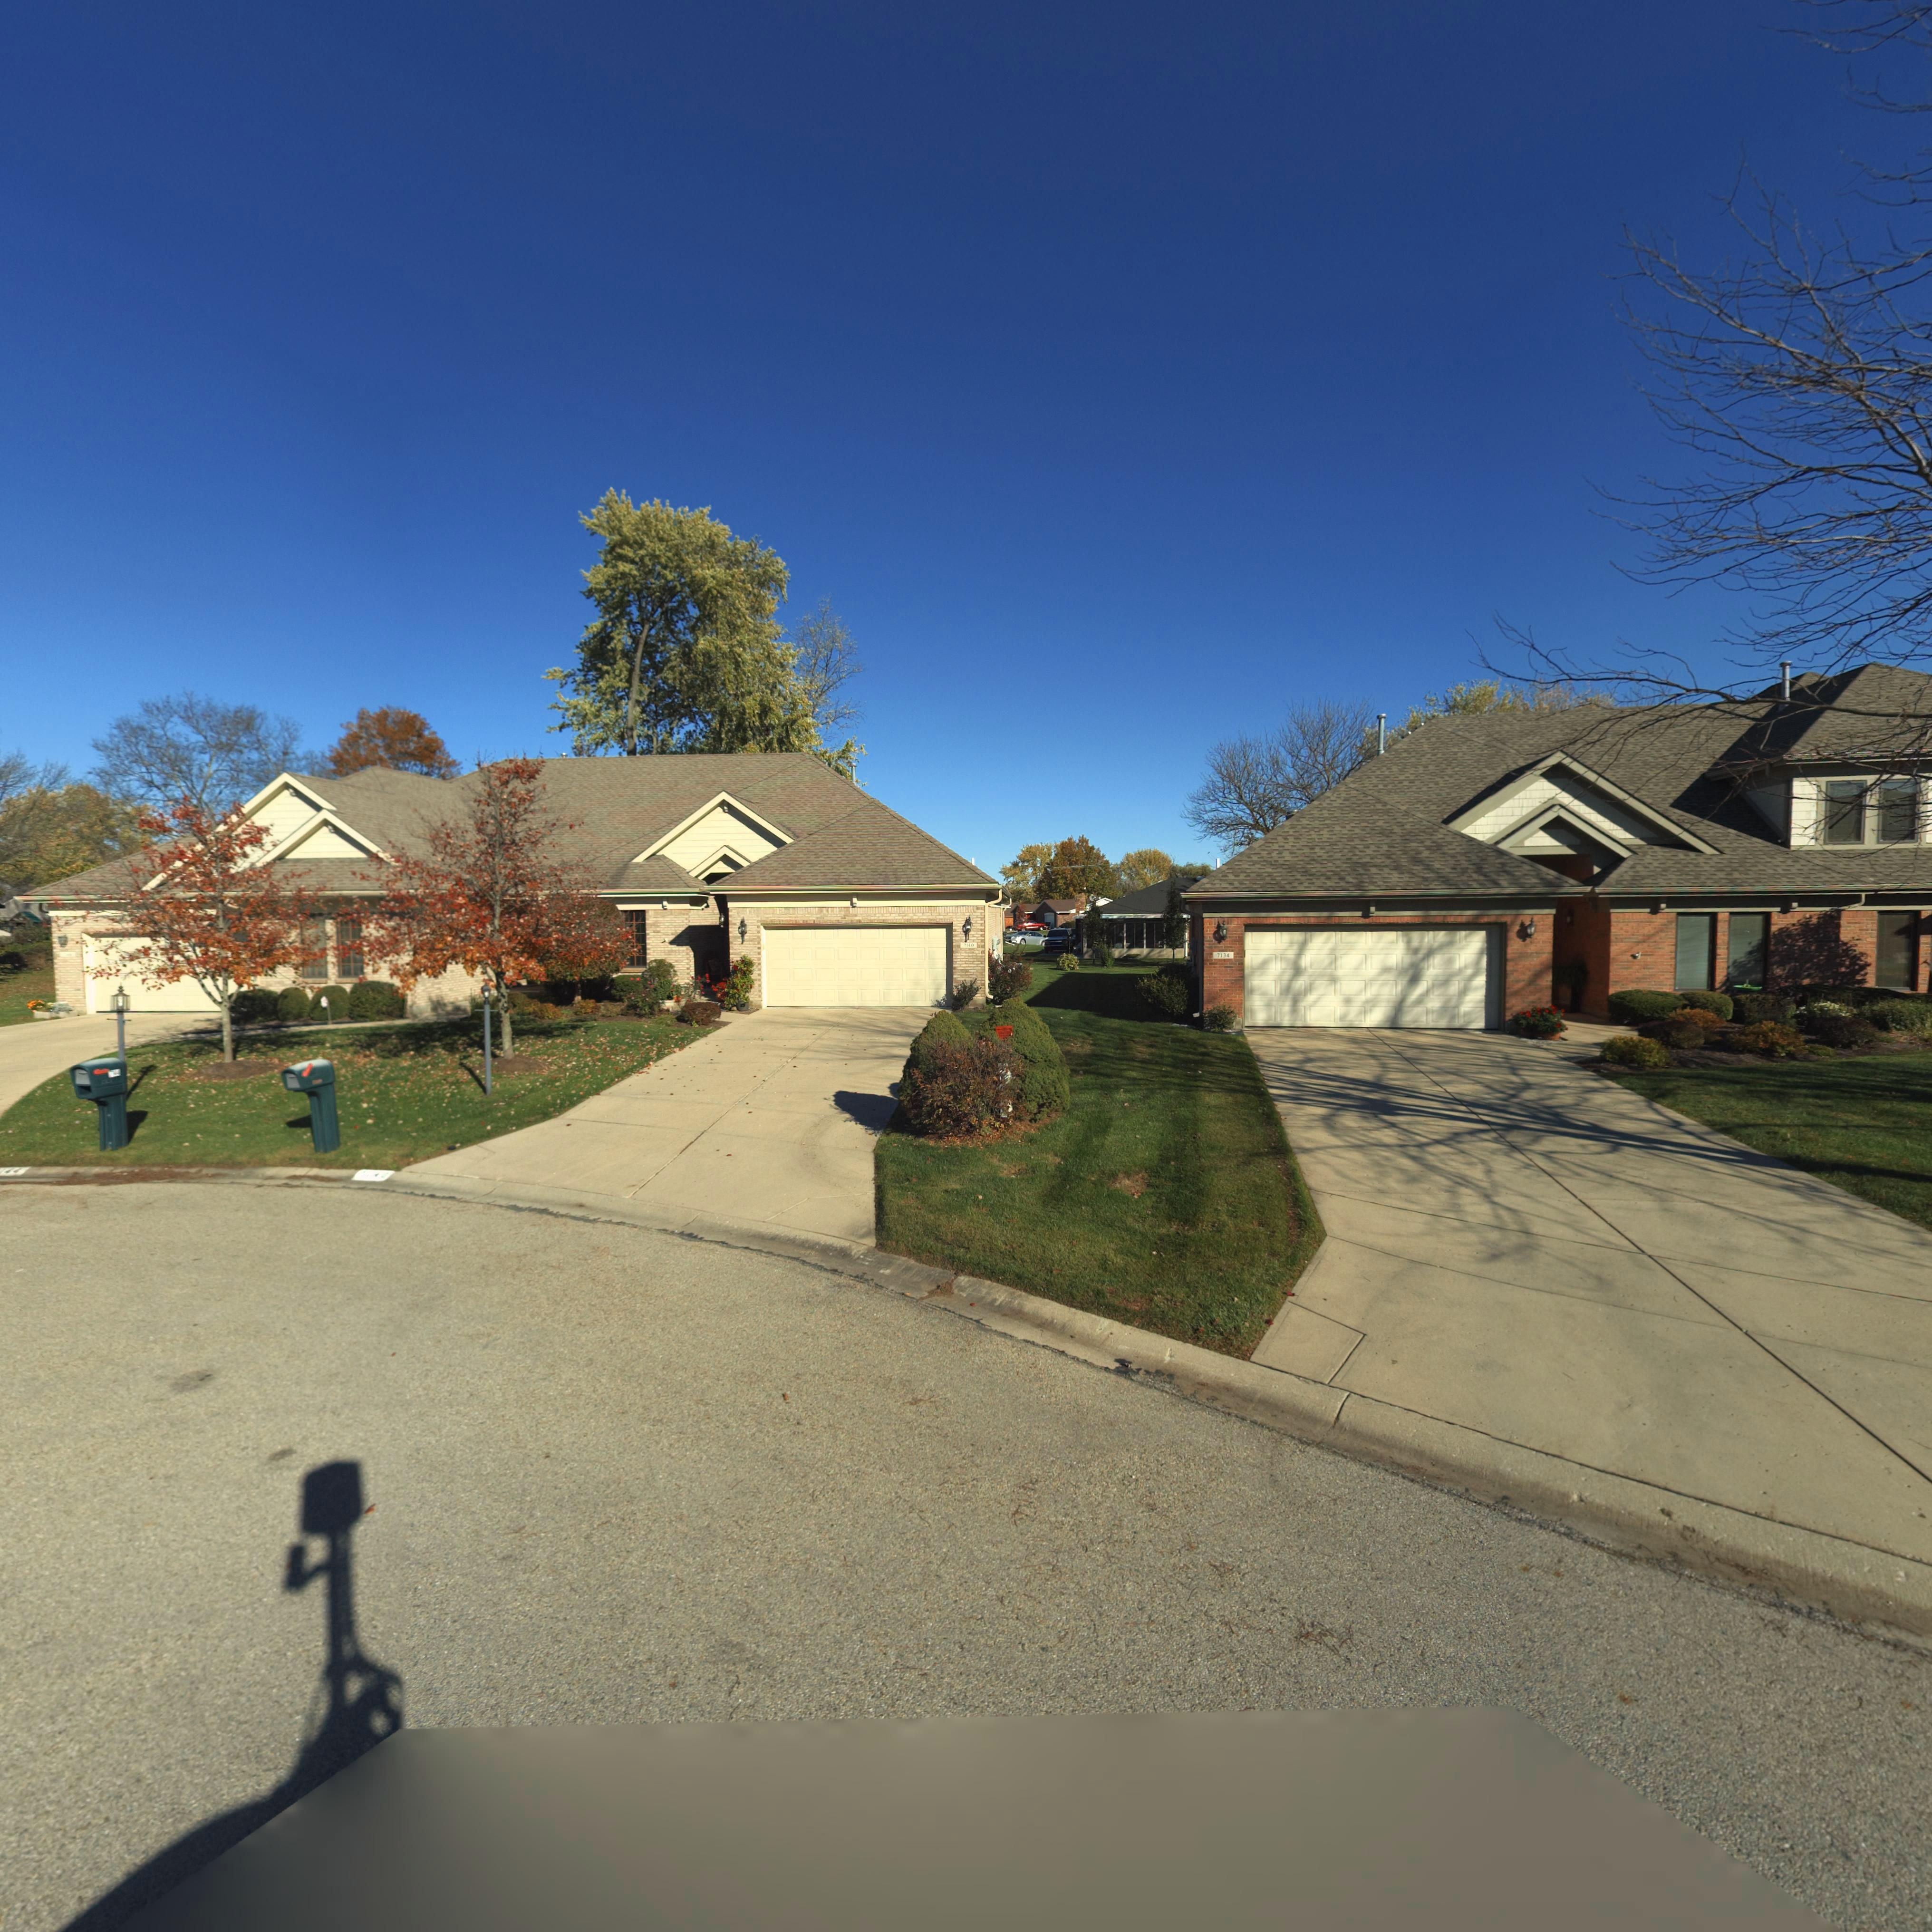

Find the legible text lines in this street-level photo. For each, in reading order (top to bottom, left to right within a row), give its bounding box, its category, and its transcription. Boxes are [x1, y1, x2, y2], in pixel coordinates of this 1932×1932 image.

[963, 943, 974, 947] StreetNumber: 7140
[1217, 953, 1230, 958] StreetNumber: 7134
[3, 1167, 25, 1174] StreetNumber: 44
[373, 1169, 391, 1179] StreetNumber: 40